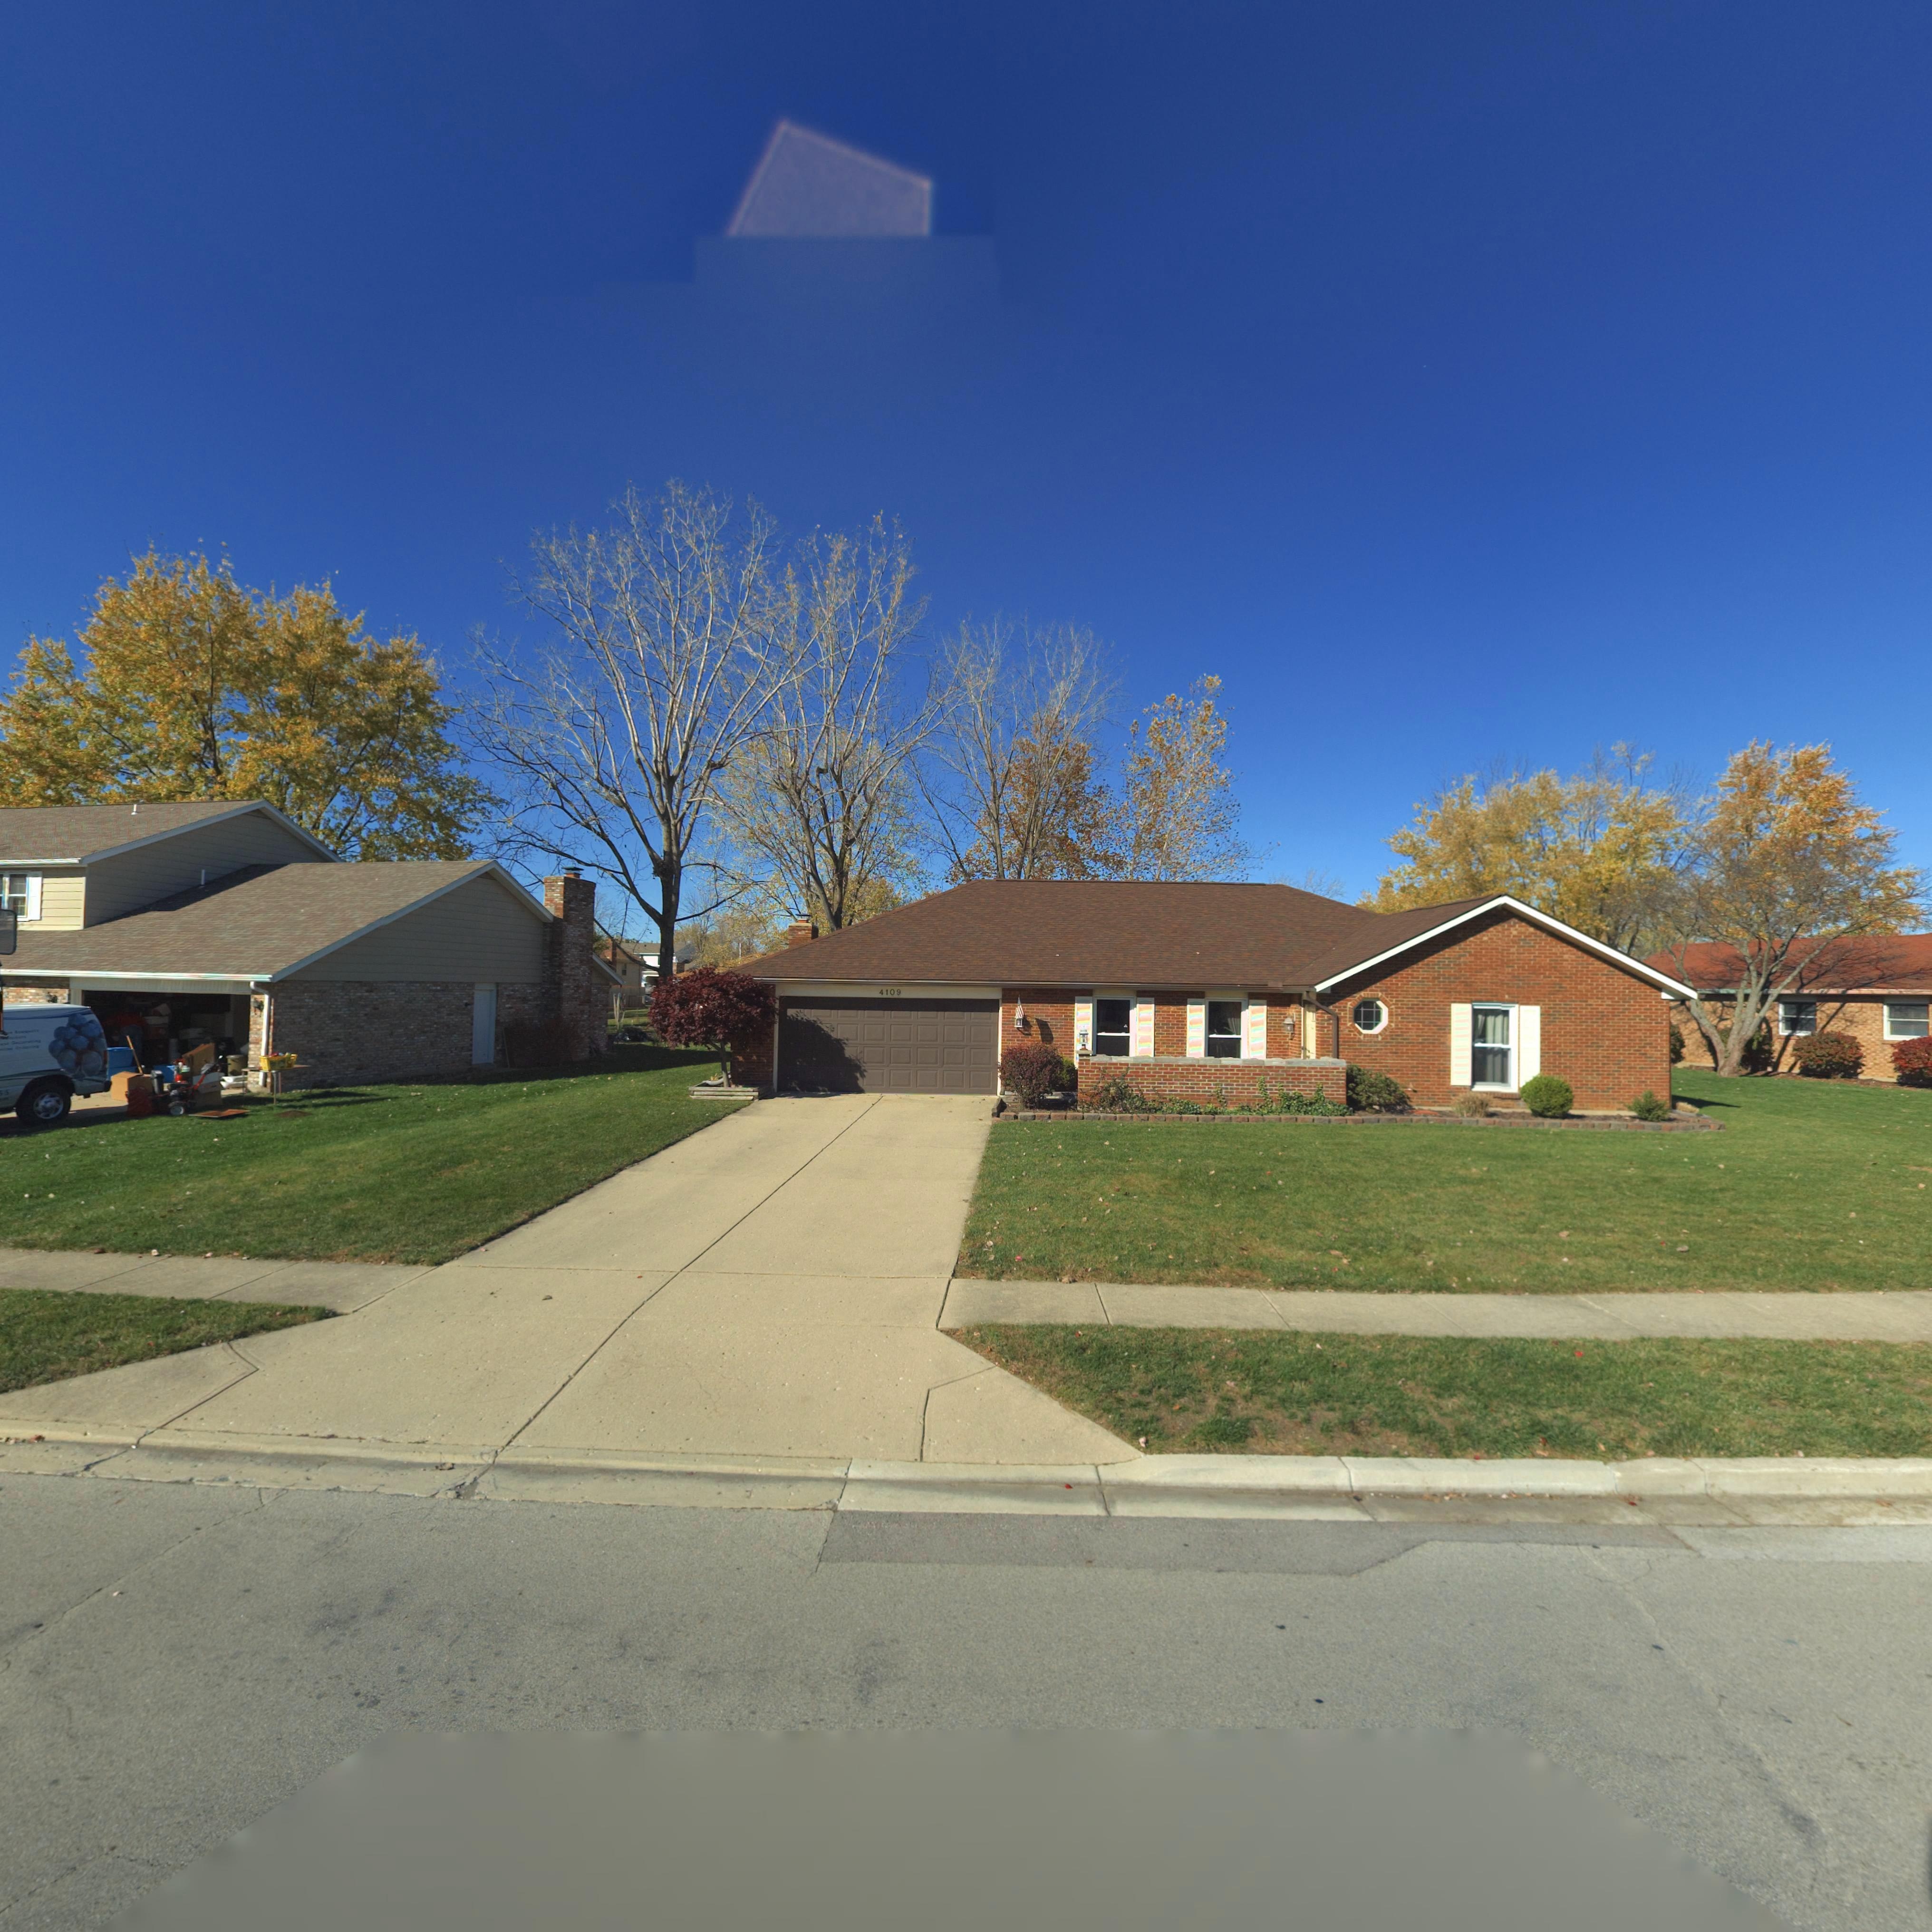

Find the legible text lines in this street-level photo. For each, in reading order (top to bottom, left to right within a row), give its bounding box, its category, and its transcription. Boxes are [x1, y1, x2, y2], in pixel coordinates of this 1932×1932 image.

[879, 988, 901, 995] StreetNumber: 4109